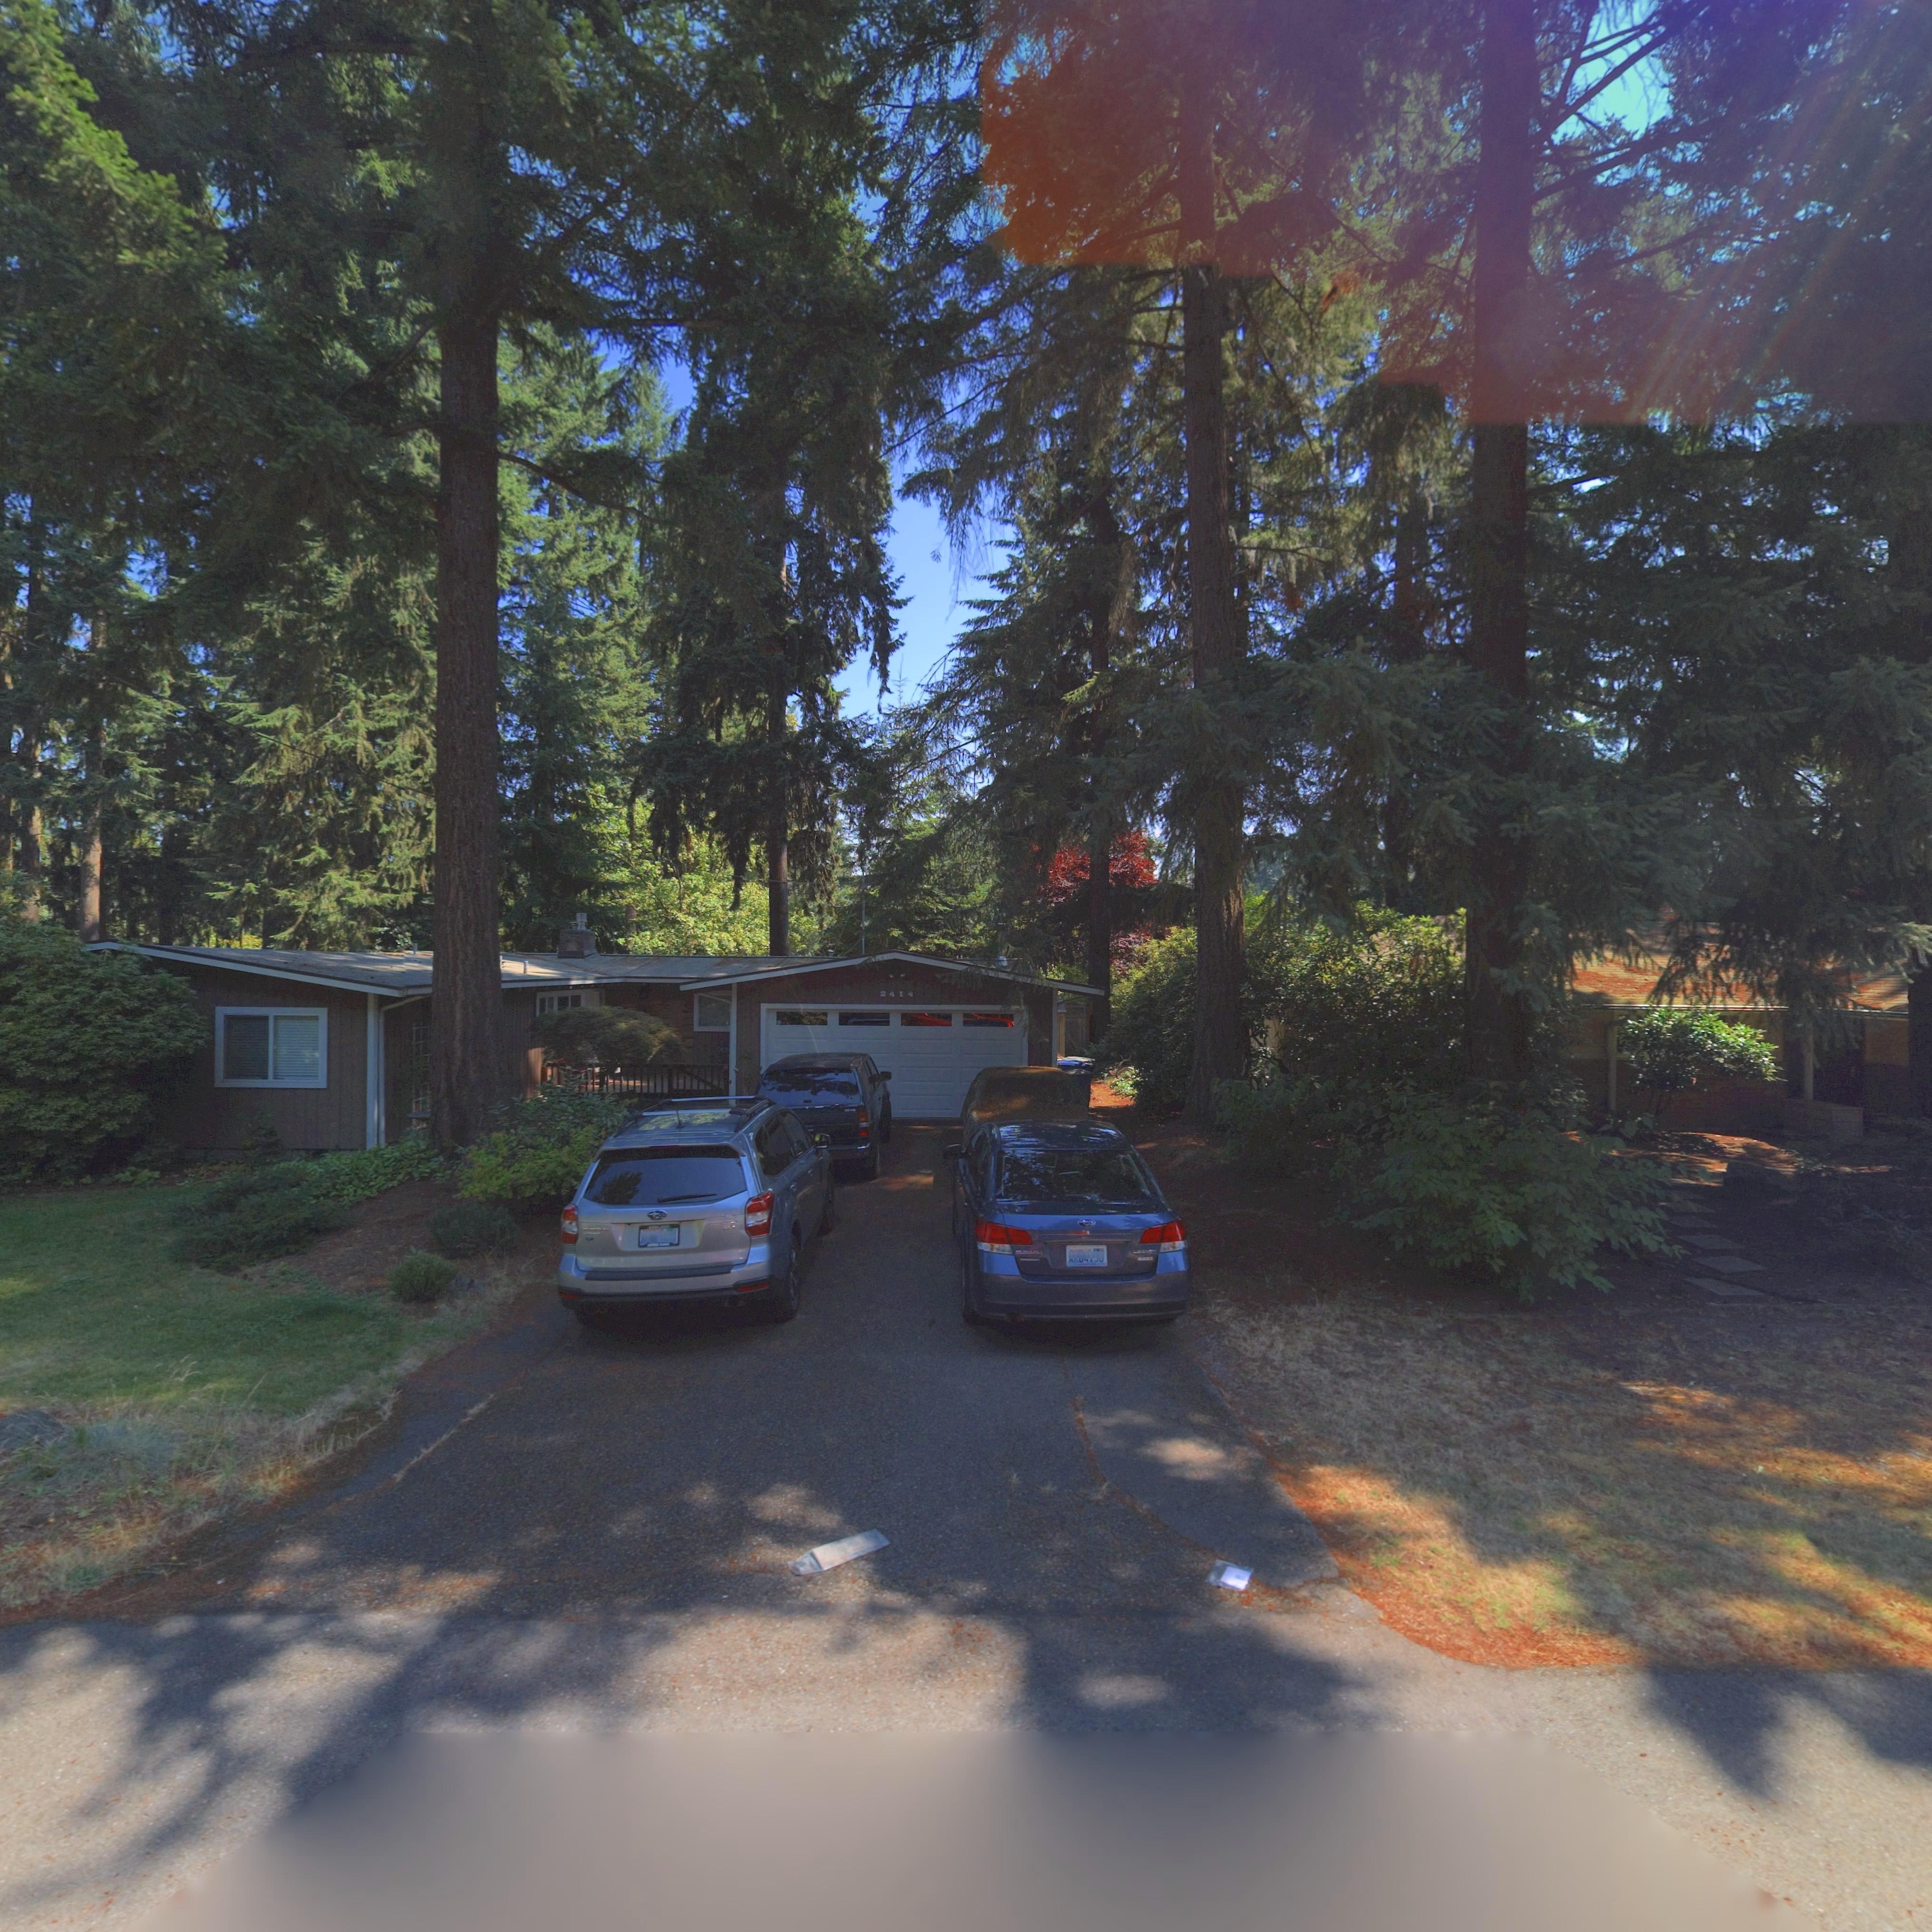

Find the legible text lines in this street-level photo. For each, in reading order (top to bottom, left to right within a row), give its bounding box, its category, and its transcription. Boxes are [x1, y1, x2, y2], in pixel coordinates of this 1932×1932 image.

[880, 991, 913, 998] StreetNumber: 2414